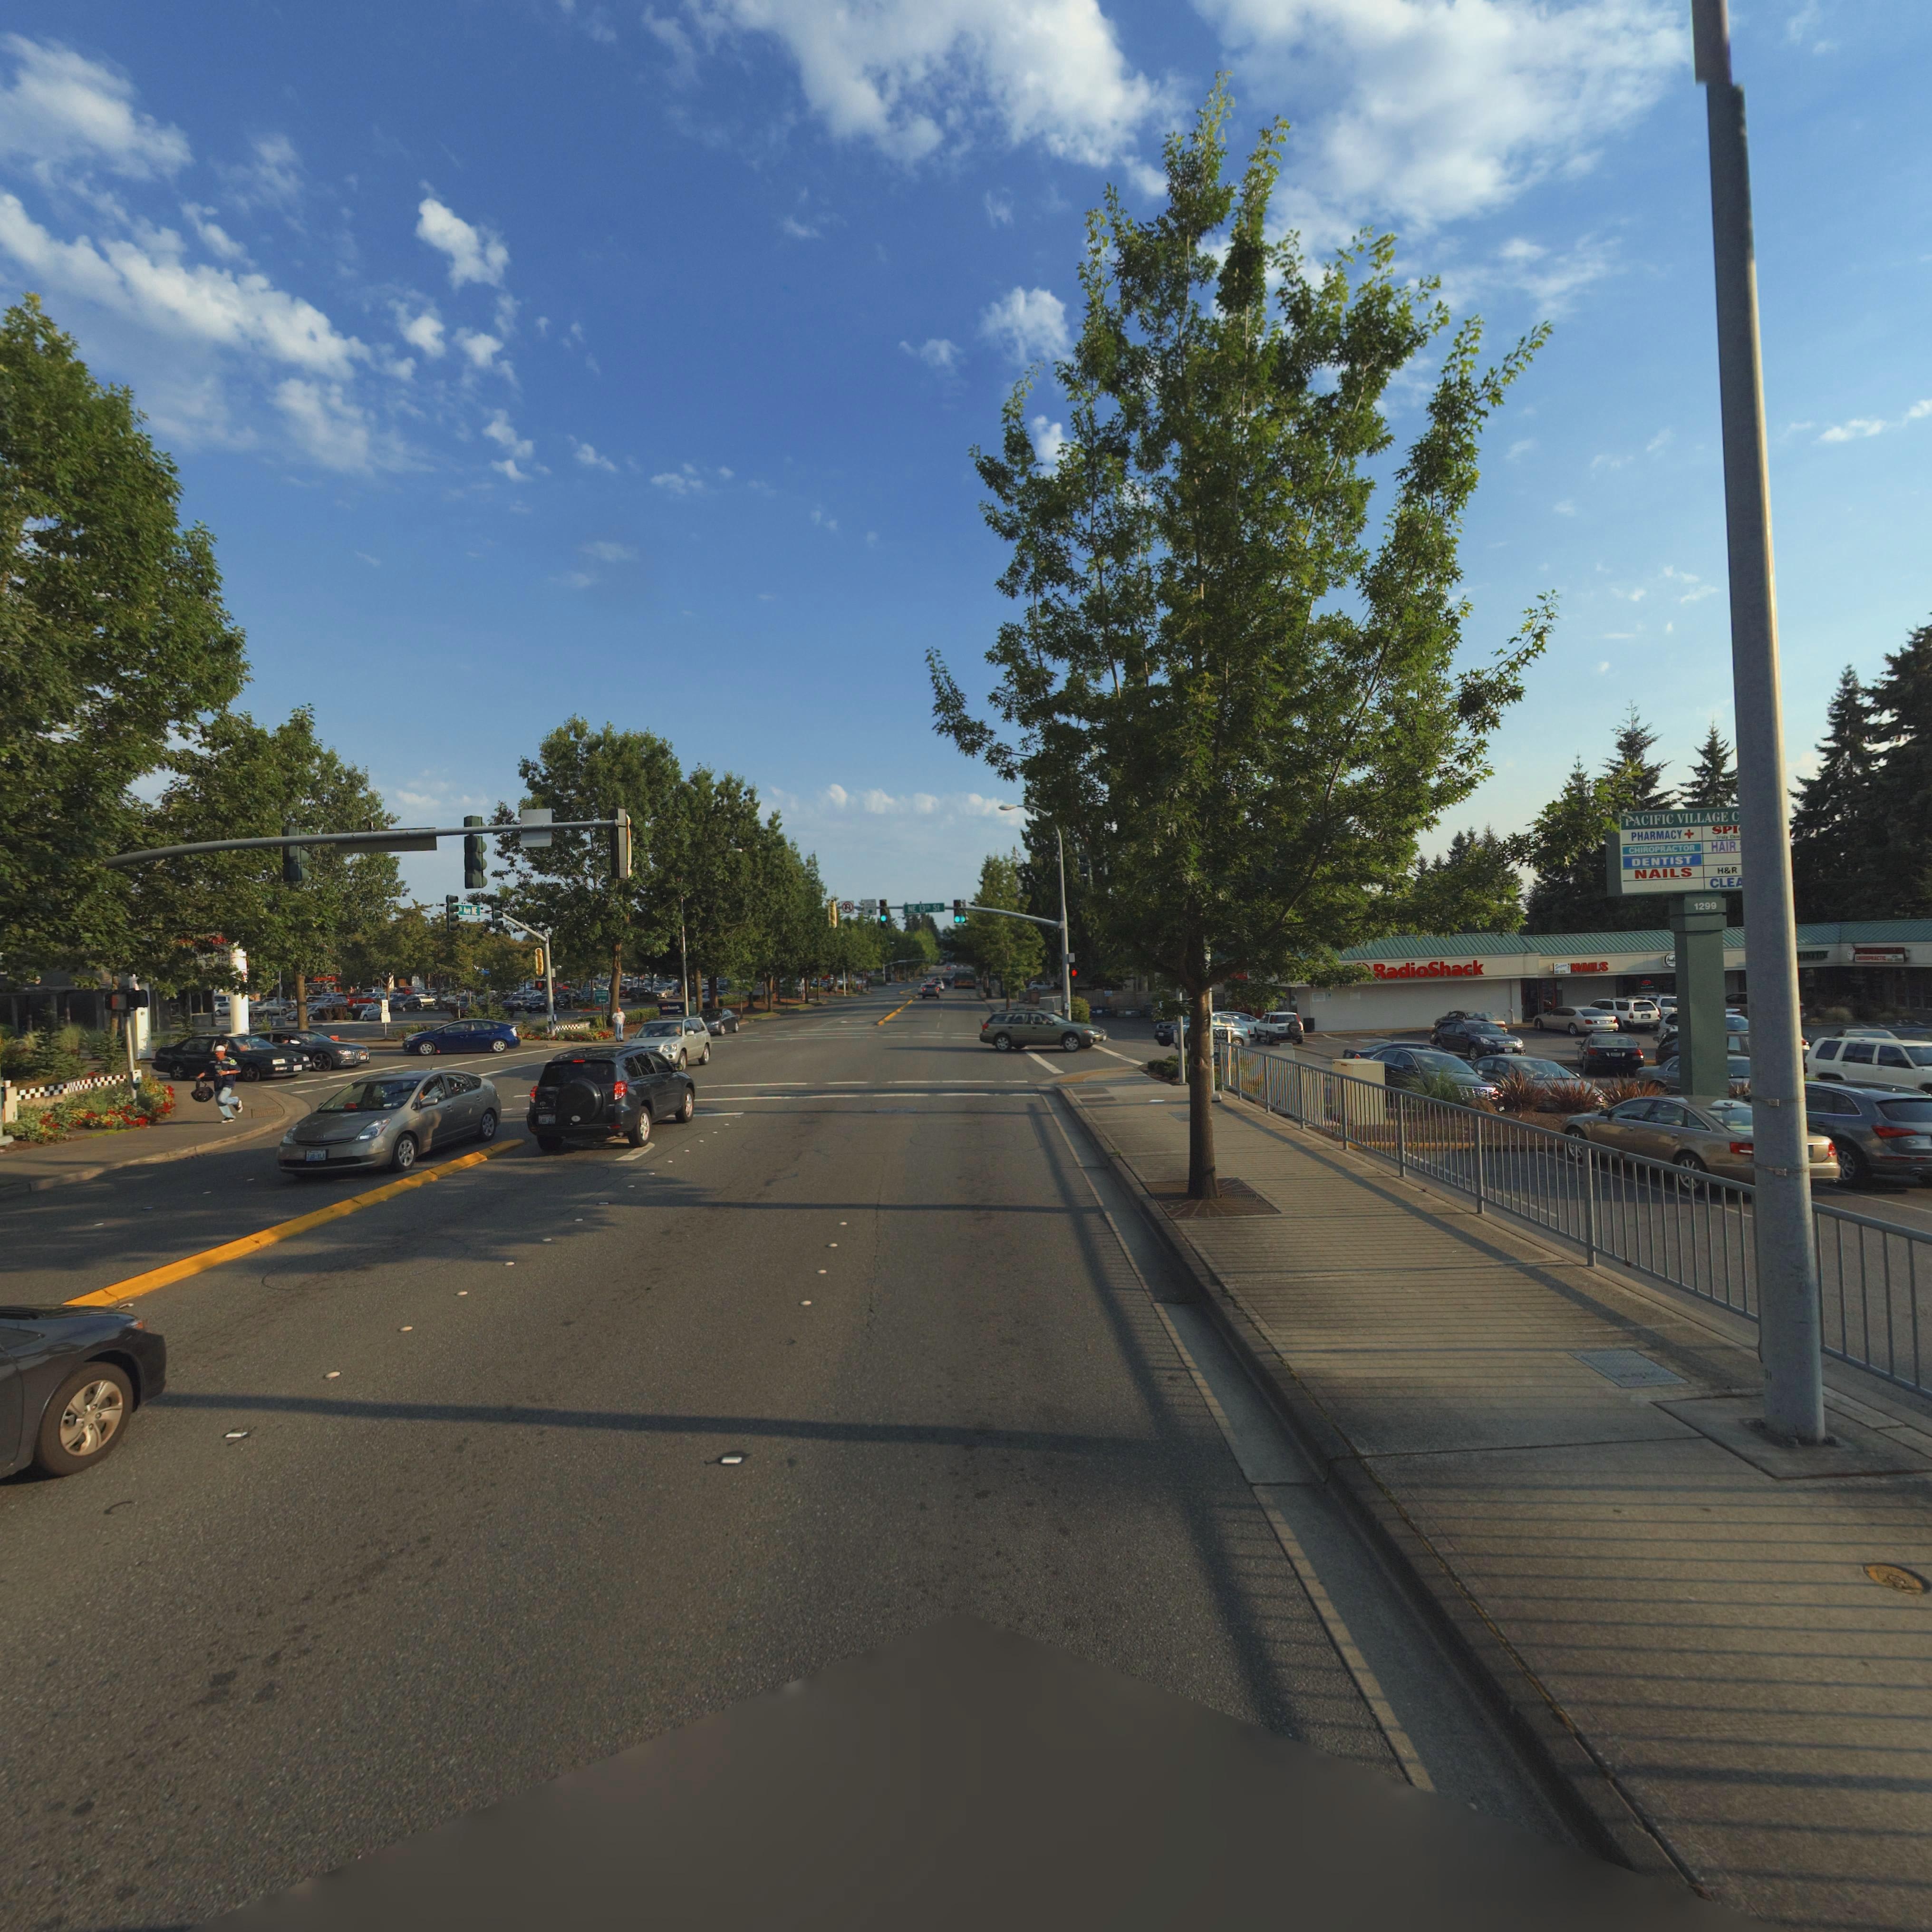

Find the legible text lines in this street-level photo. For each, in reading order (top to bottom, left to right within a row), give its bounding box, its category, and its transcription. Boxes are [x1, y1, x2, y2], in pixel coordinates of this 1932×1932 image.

[1631, 829, 1682, 841] BusinessName: PHARMACY
[1711, 825, 1738, 834] BusinessName: SP*
[1629, 845, 1694, 853] BusinessName: CHIROPRACTOR
[1711, 840, 1737, 852] BusinessName: HAIR
[1631, 856, 1692, 867] BusinessName: DENTIST
[1633, 867, 1692, 879] BusinessName: NAILS
[1717, 866, 1738, 874] BusinessName: H*R
[1710, 877, 1740, 889] BusinessName: CLE*
[908, 904, 940, 912] StreetName: NE 13** St
[1694, 902, 1716, 910] StreetNumber: 1299
[1373, 959, 1485, 978] BusinessName: RadioShack
[1570, 961, 1609, 972] BusinessName: NAILS